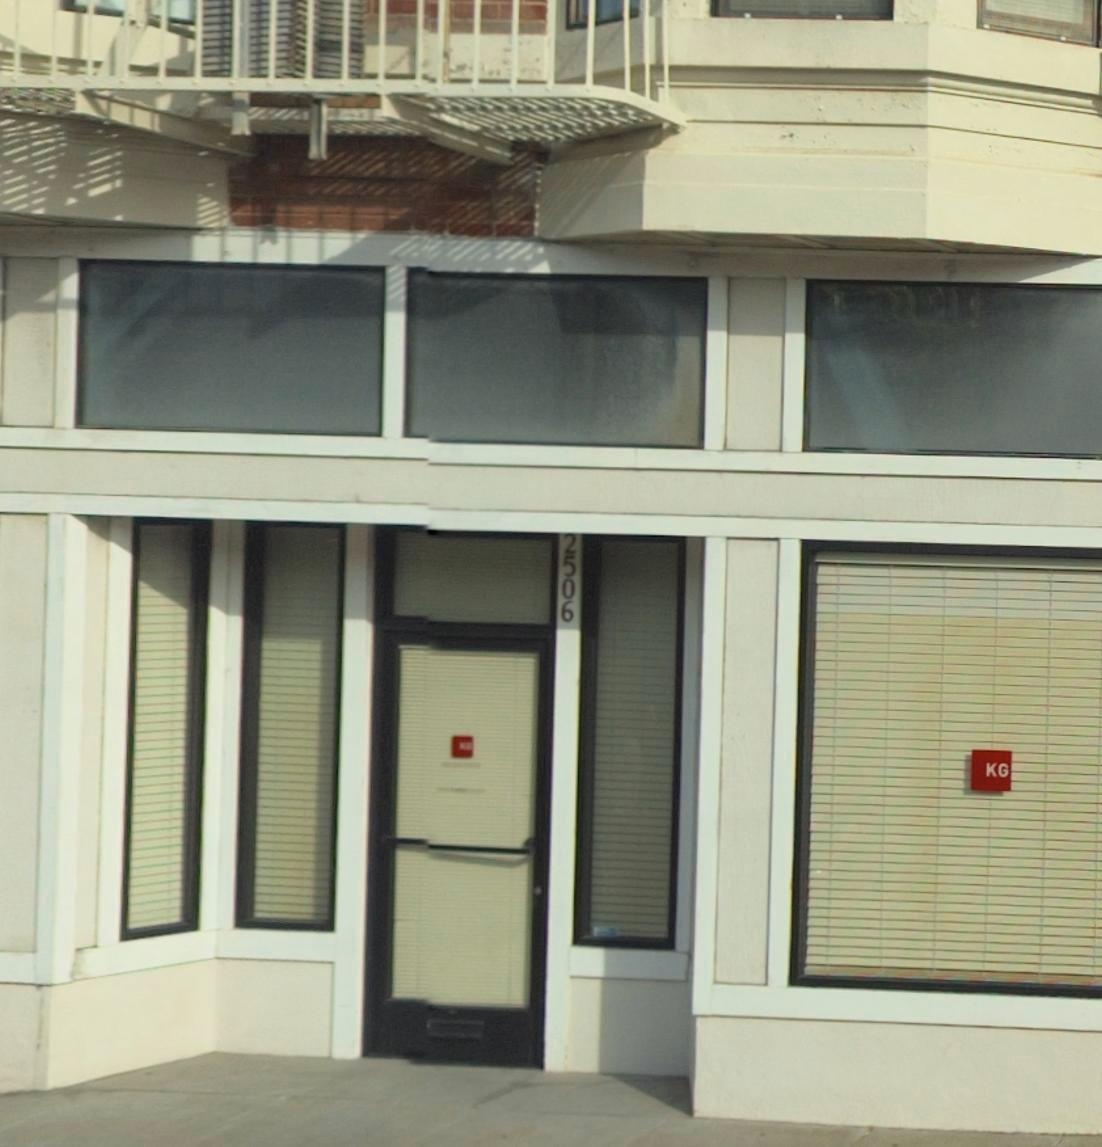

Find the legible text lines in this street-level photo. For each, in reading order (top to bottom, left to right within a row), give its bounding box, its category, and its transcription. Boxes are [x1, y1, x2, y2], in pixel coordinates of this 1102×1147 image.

[556, 530, 581, 625] StreetNumber: 2506
[983, 759, 1012, 781] None: KG